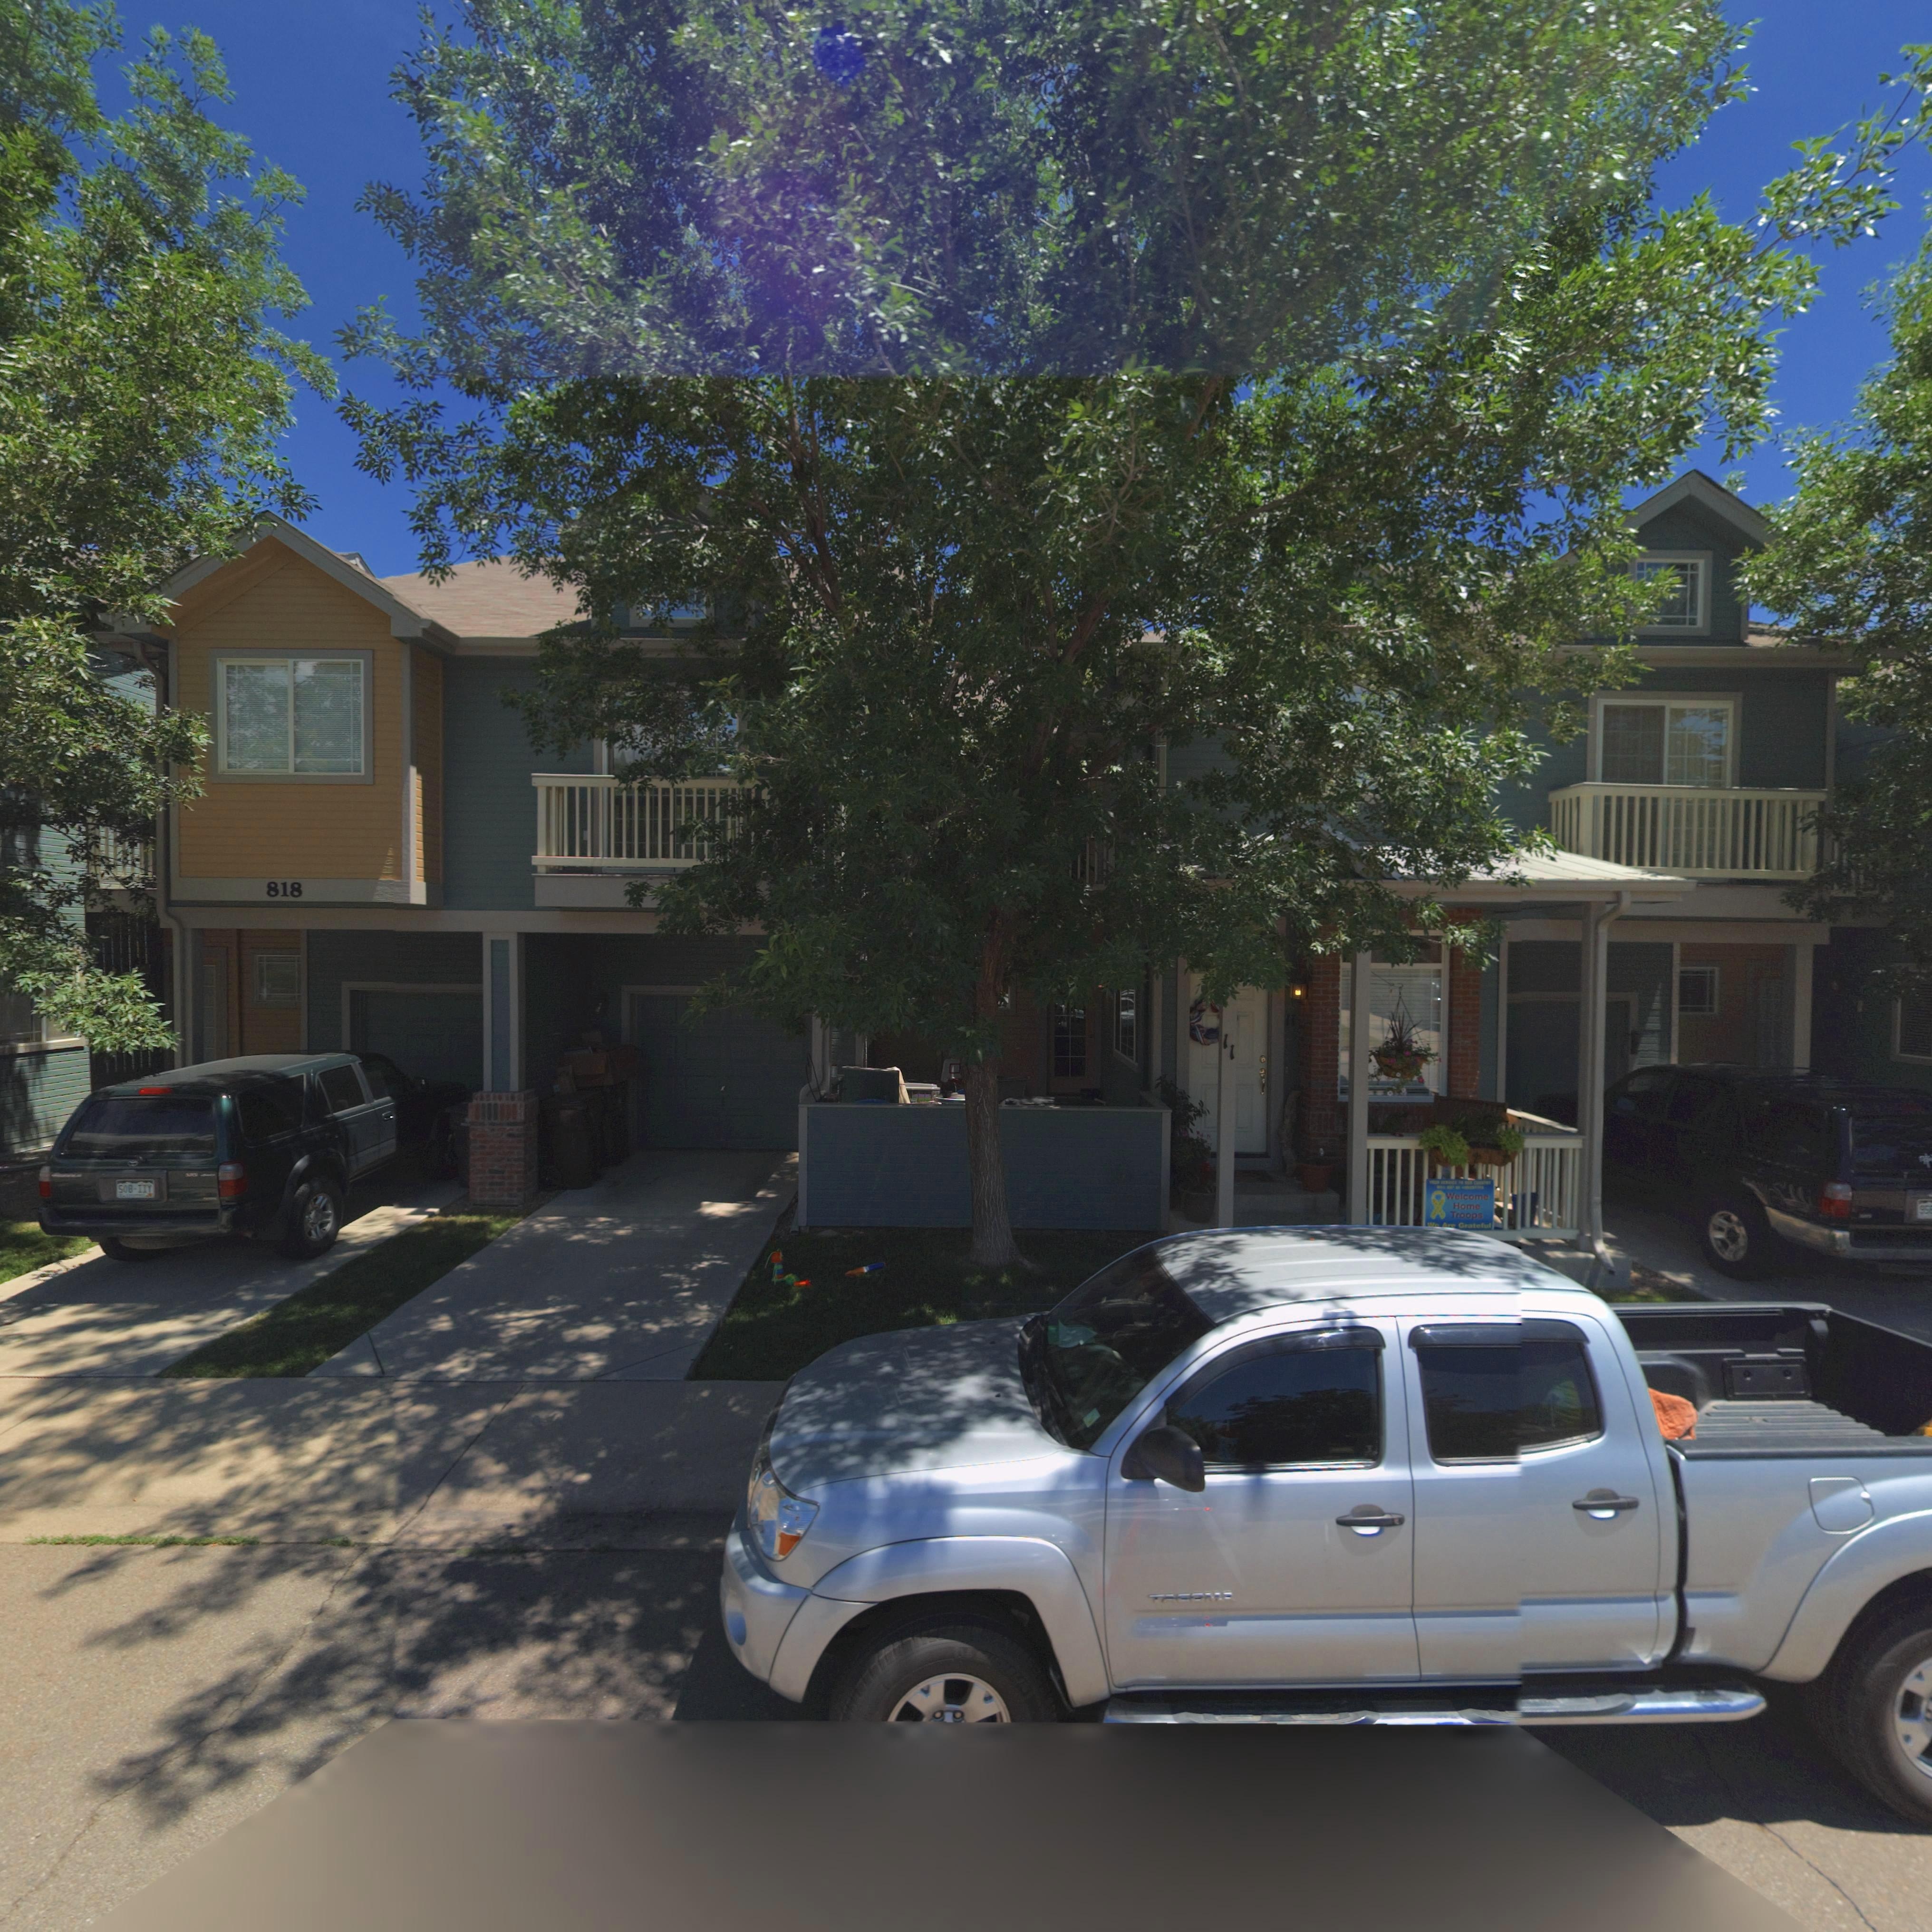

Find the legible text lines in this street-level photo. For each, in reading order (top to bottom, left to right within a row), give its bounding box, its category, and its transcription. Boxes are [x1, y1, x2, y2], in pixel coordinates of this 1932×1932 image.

[266, 881, 302, 898] StreetNumber: 818
[1222, 1032, 1235, 1062] SecondaryUnitDesignator: 11